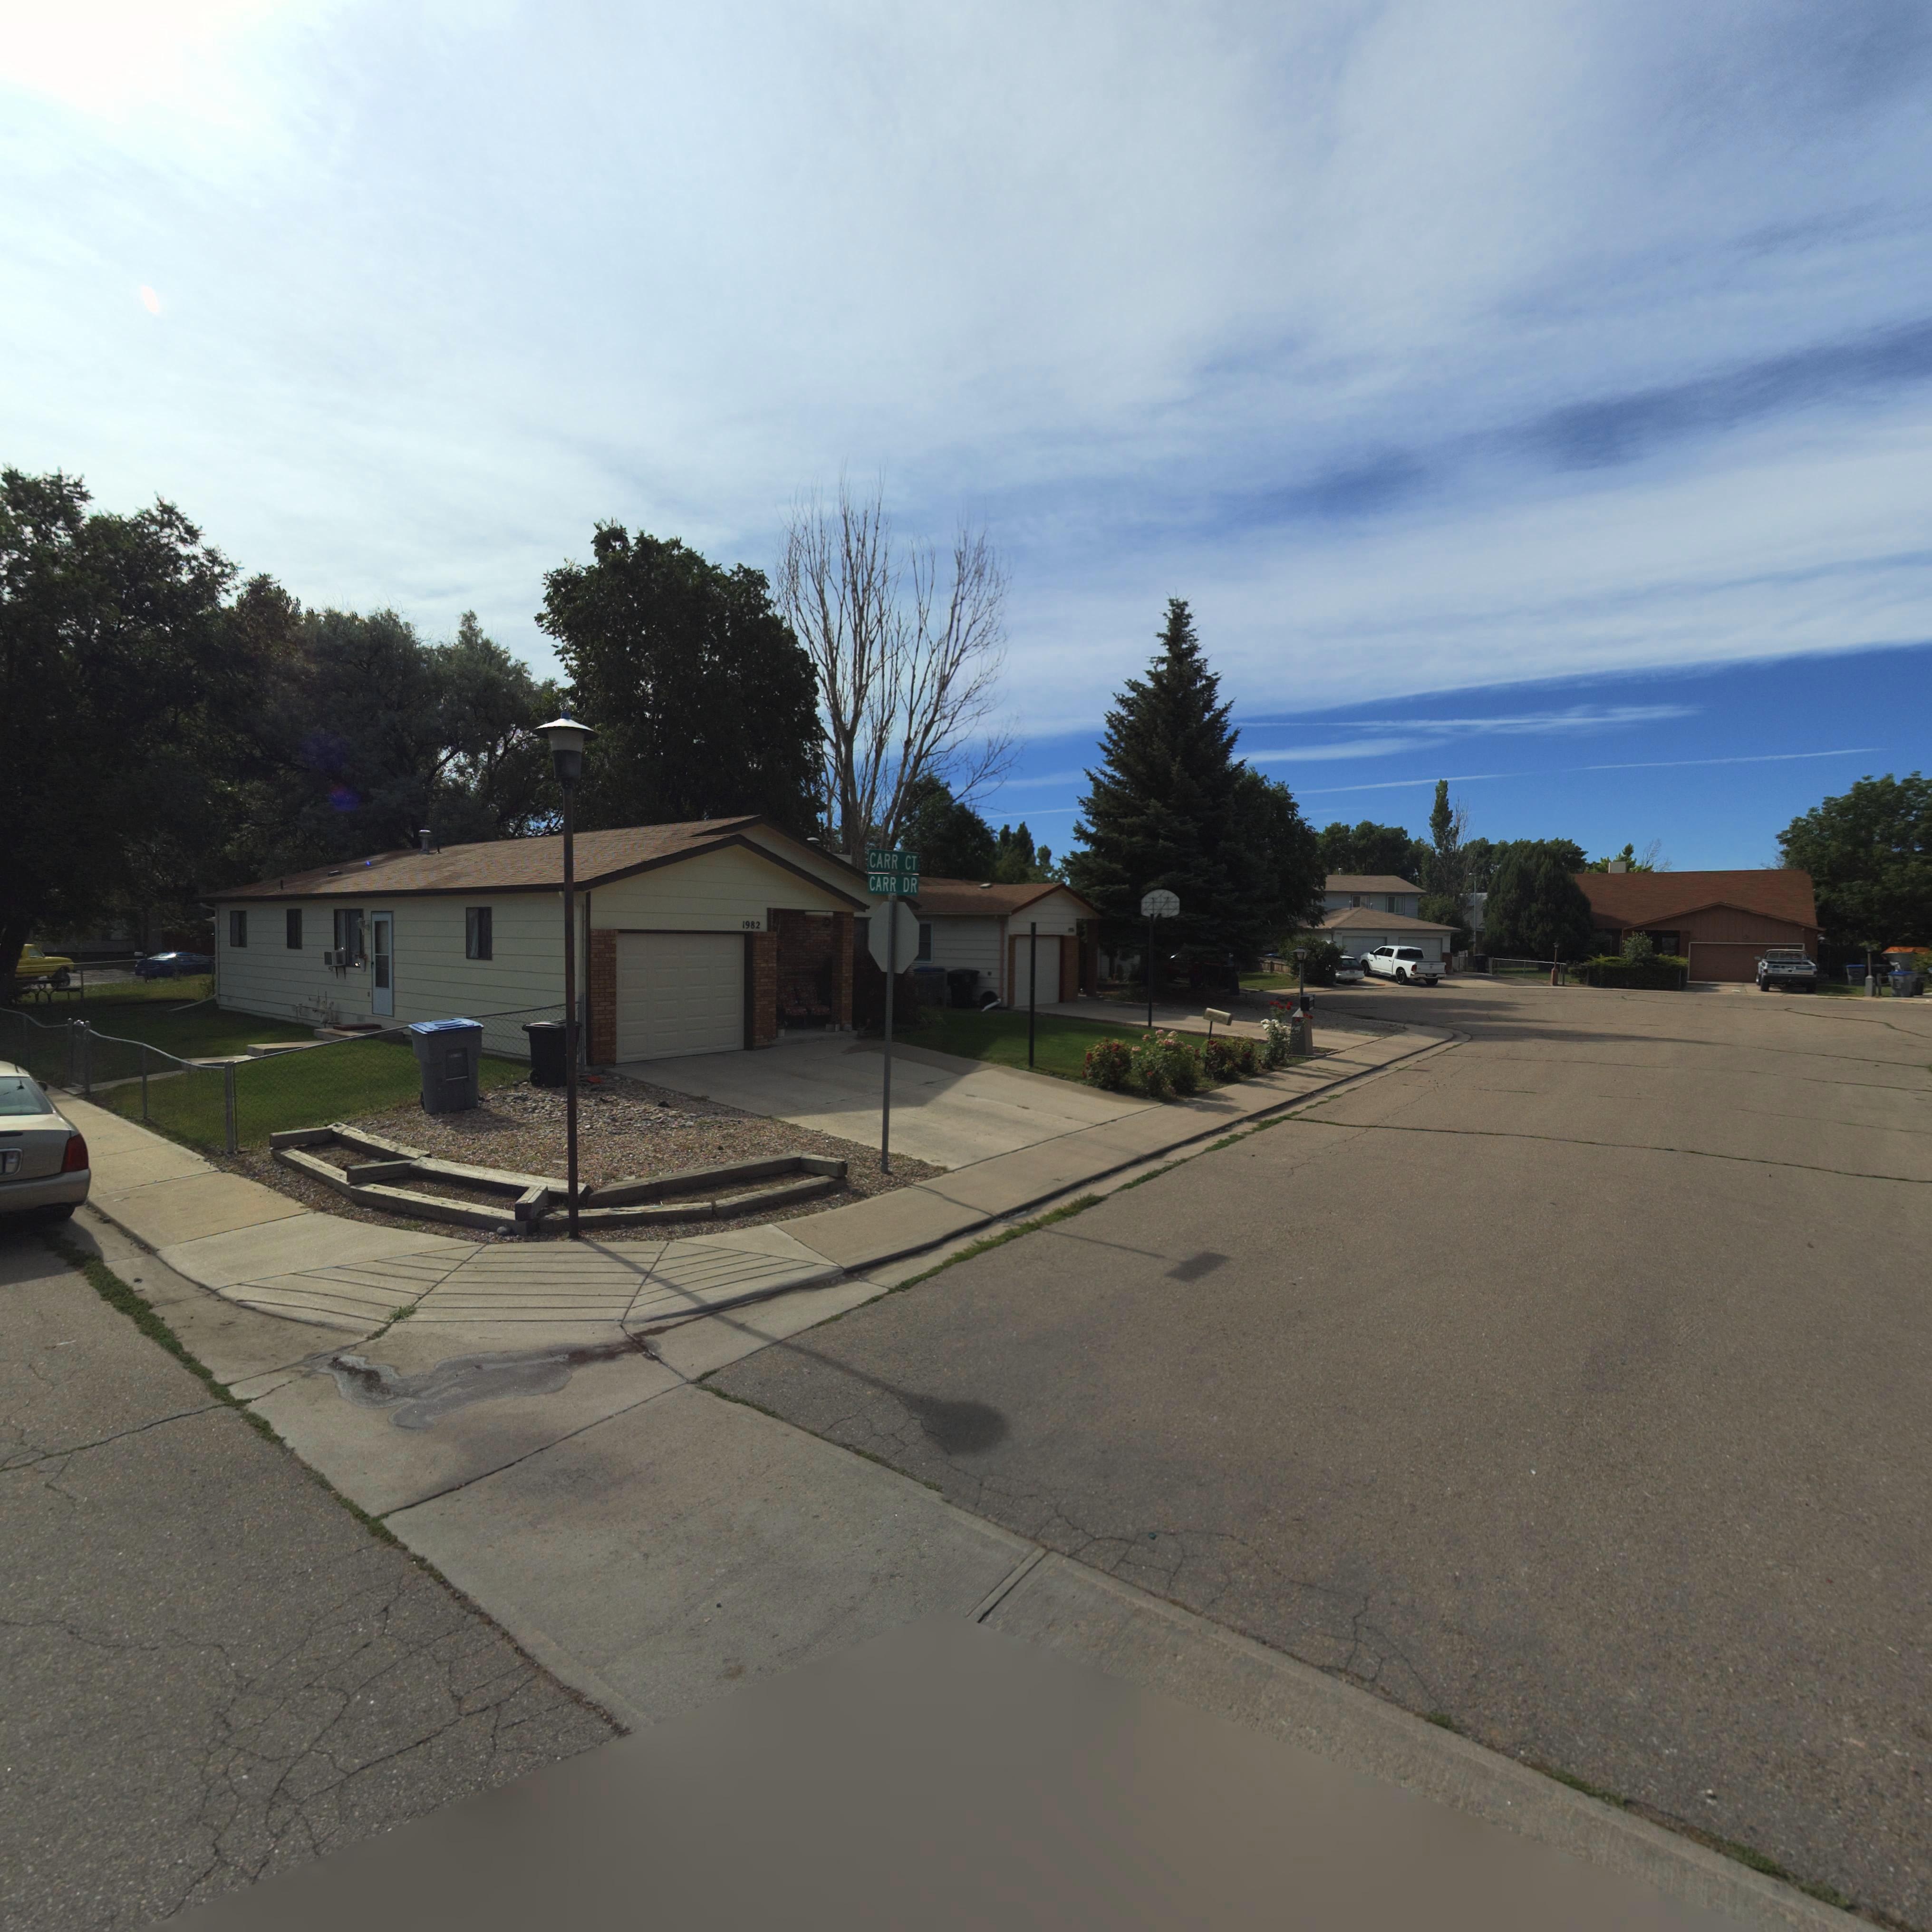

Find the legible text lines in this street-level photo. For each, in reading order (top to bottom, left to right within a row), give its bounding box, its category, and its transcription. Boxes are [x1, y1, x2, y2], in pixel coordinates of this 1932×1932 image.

[869, 851, 917, 870] StreetName: CARR CT
[869, 875, 917, 893] StreetName: CARR DR
[742, 920, 760, 929] StreetNumber: 1982